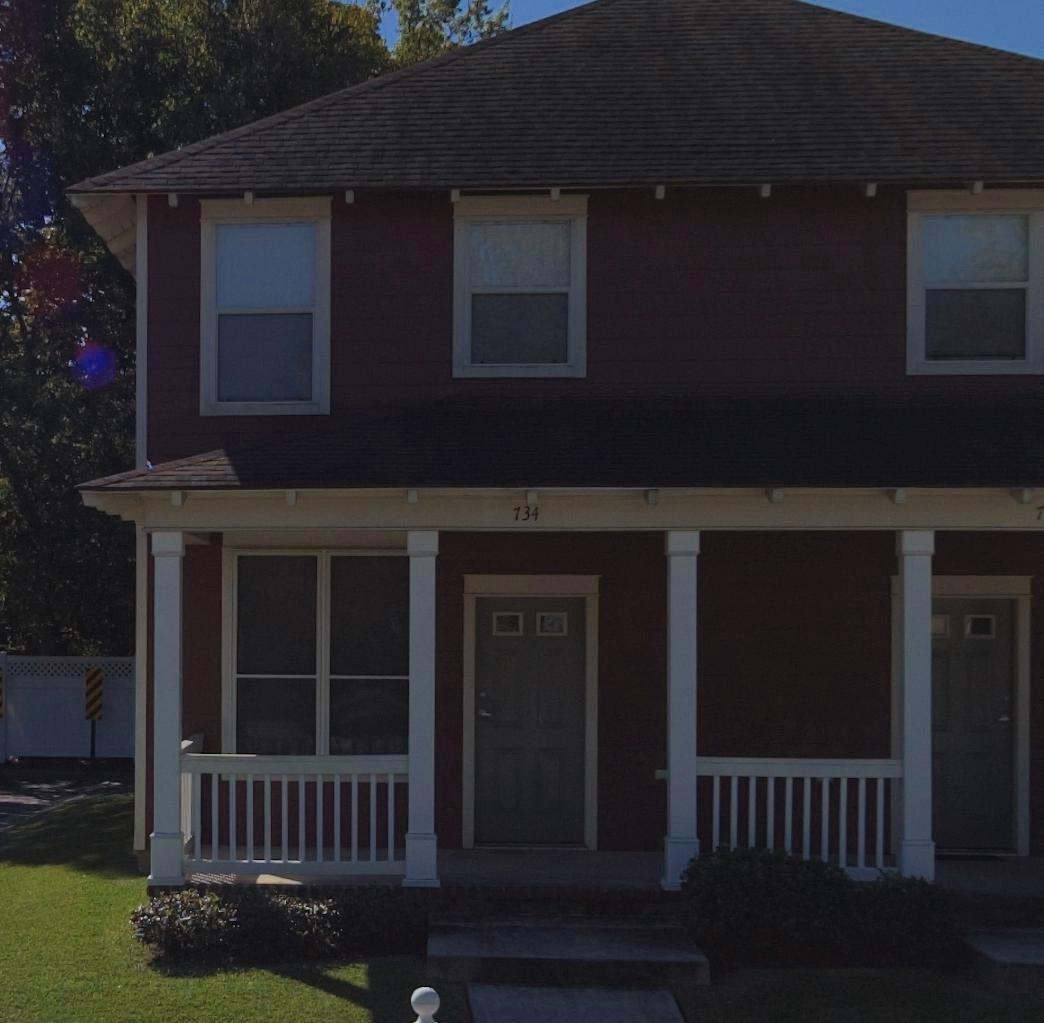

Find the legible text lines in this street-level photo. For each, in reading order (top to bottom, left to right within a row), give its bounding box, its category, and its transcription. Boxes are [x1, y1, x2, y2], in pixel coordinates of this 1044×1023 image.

[511, 504, 541, 523] StreetNumber: 734